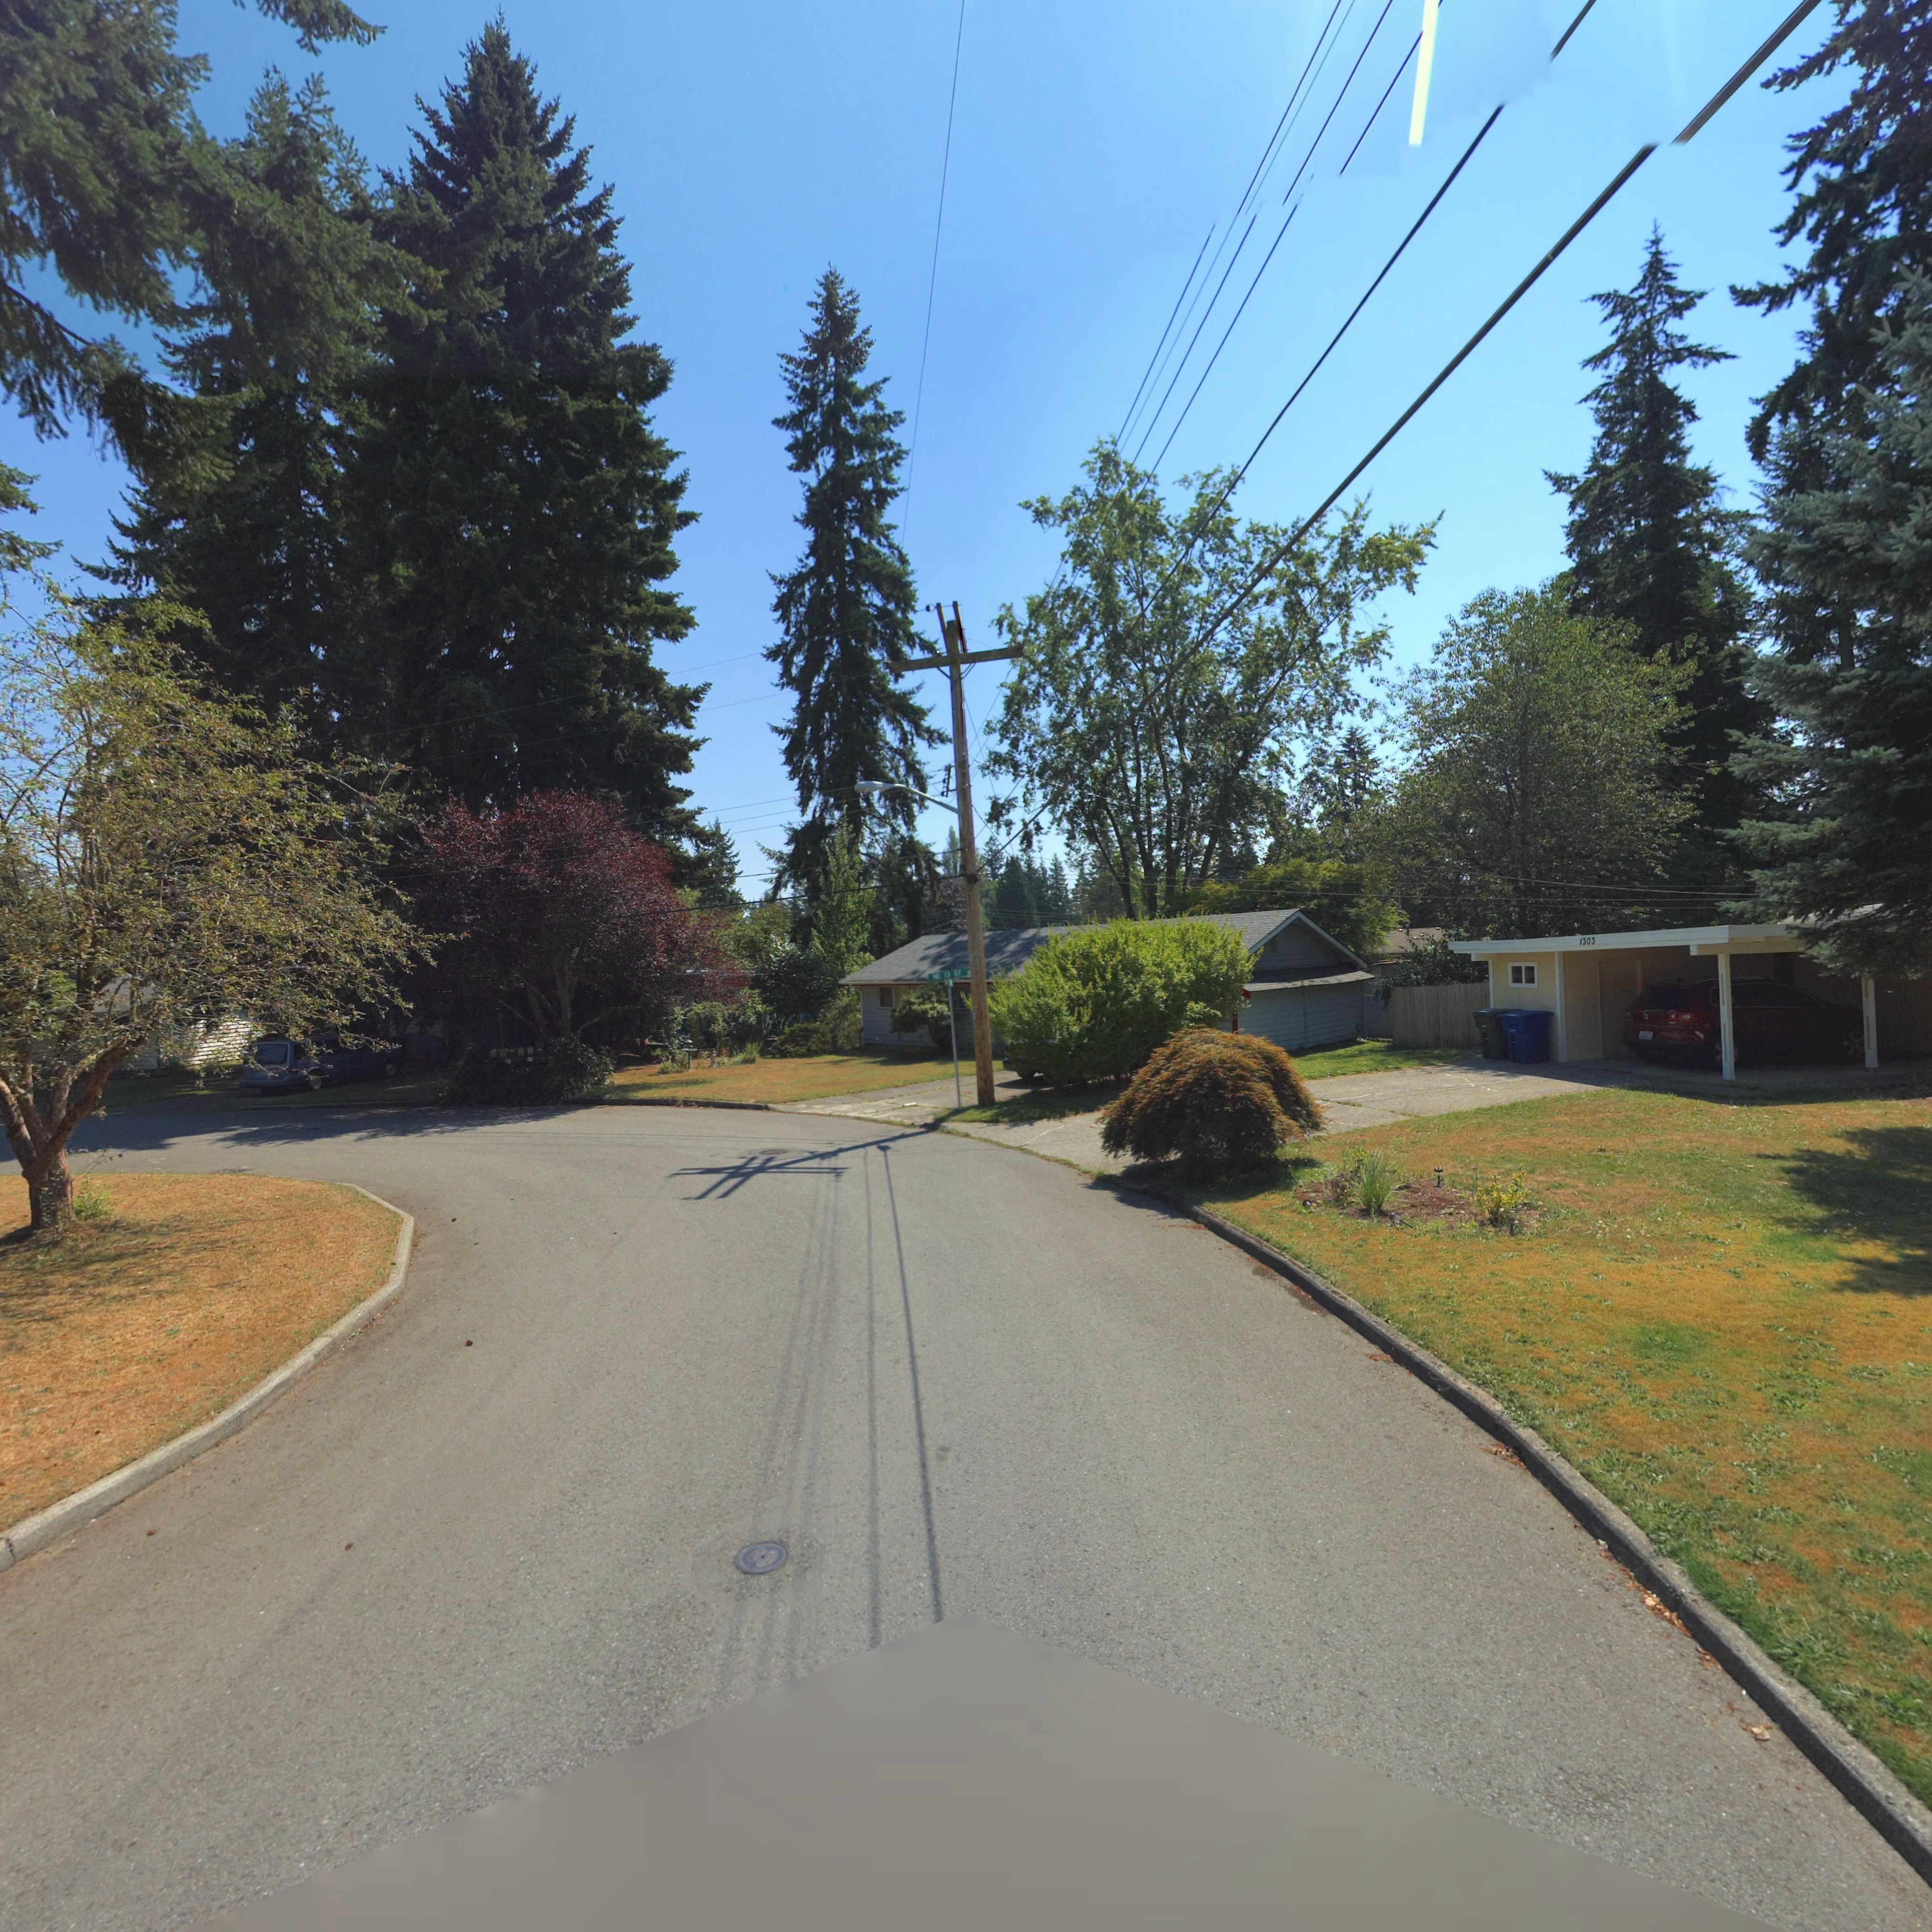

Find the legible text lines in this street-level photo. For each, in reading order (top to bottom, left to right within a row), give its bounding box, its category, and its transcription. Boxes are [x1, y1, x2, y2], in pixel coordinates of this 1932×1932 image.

[1579, 937, 1595, 945] StreetNumber: 1303
[932, 968, 961, 979] StreetName: NE 13 ST